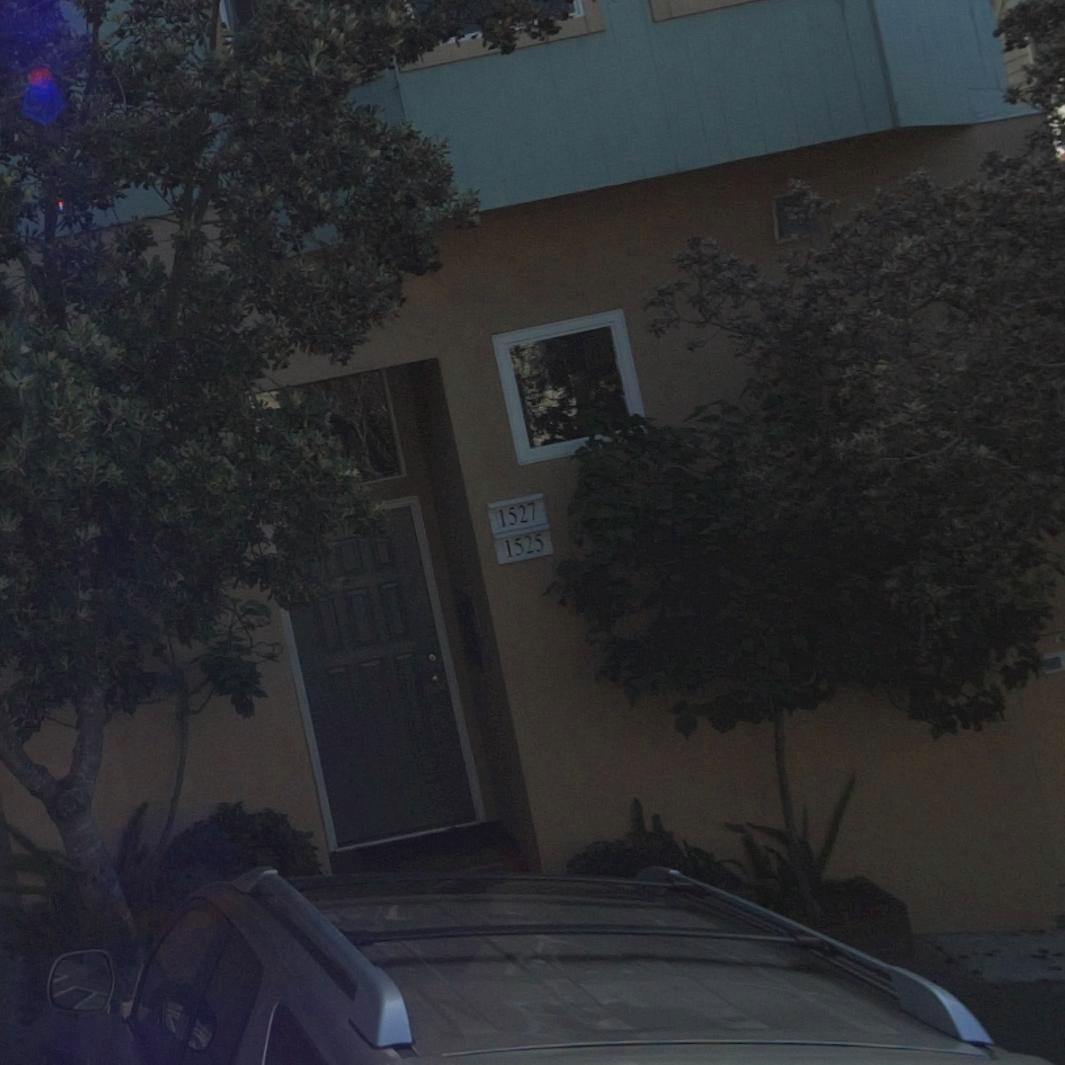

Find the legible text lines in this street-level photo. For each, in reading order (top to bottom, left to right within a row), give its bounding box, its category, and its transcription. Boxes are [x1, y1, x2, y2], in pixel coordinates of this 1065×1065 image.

[498, 500, 536, 529] StreetNumber: 1527
[503, 532, 545, 560] StreetNumber: 1525